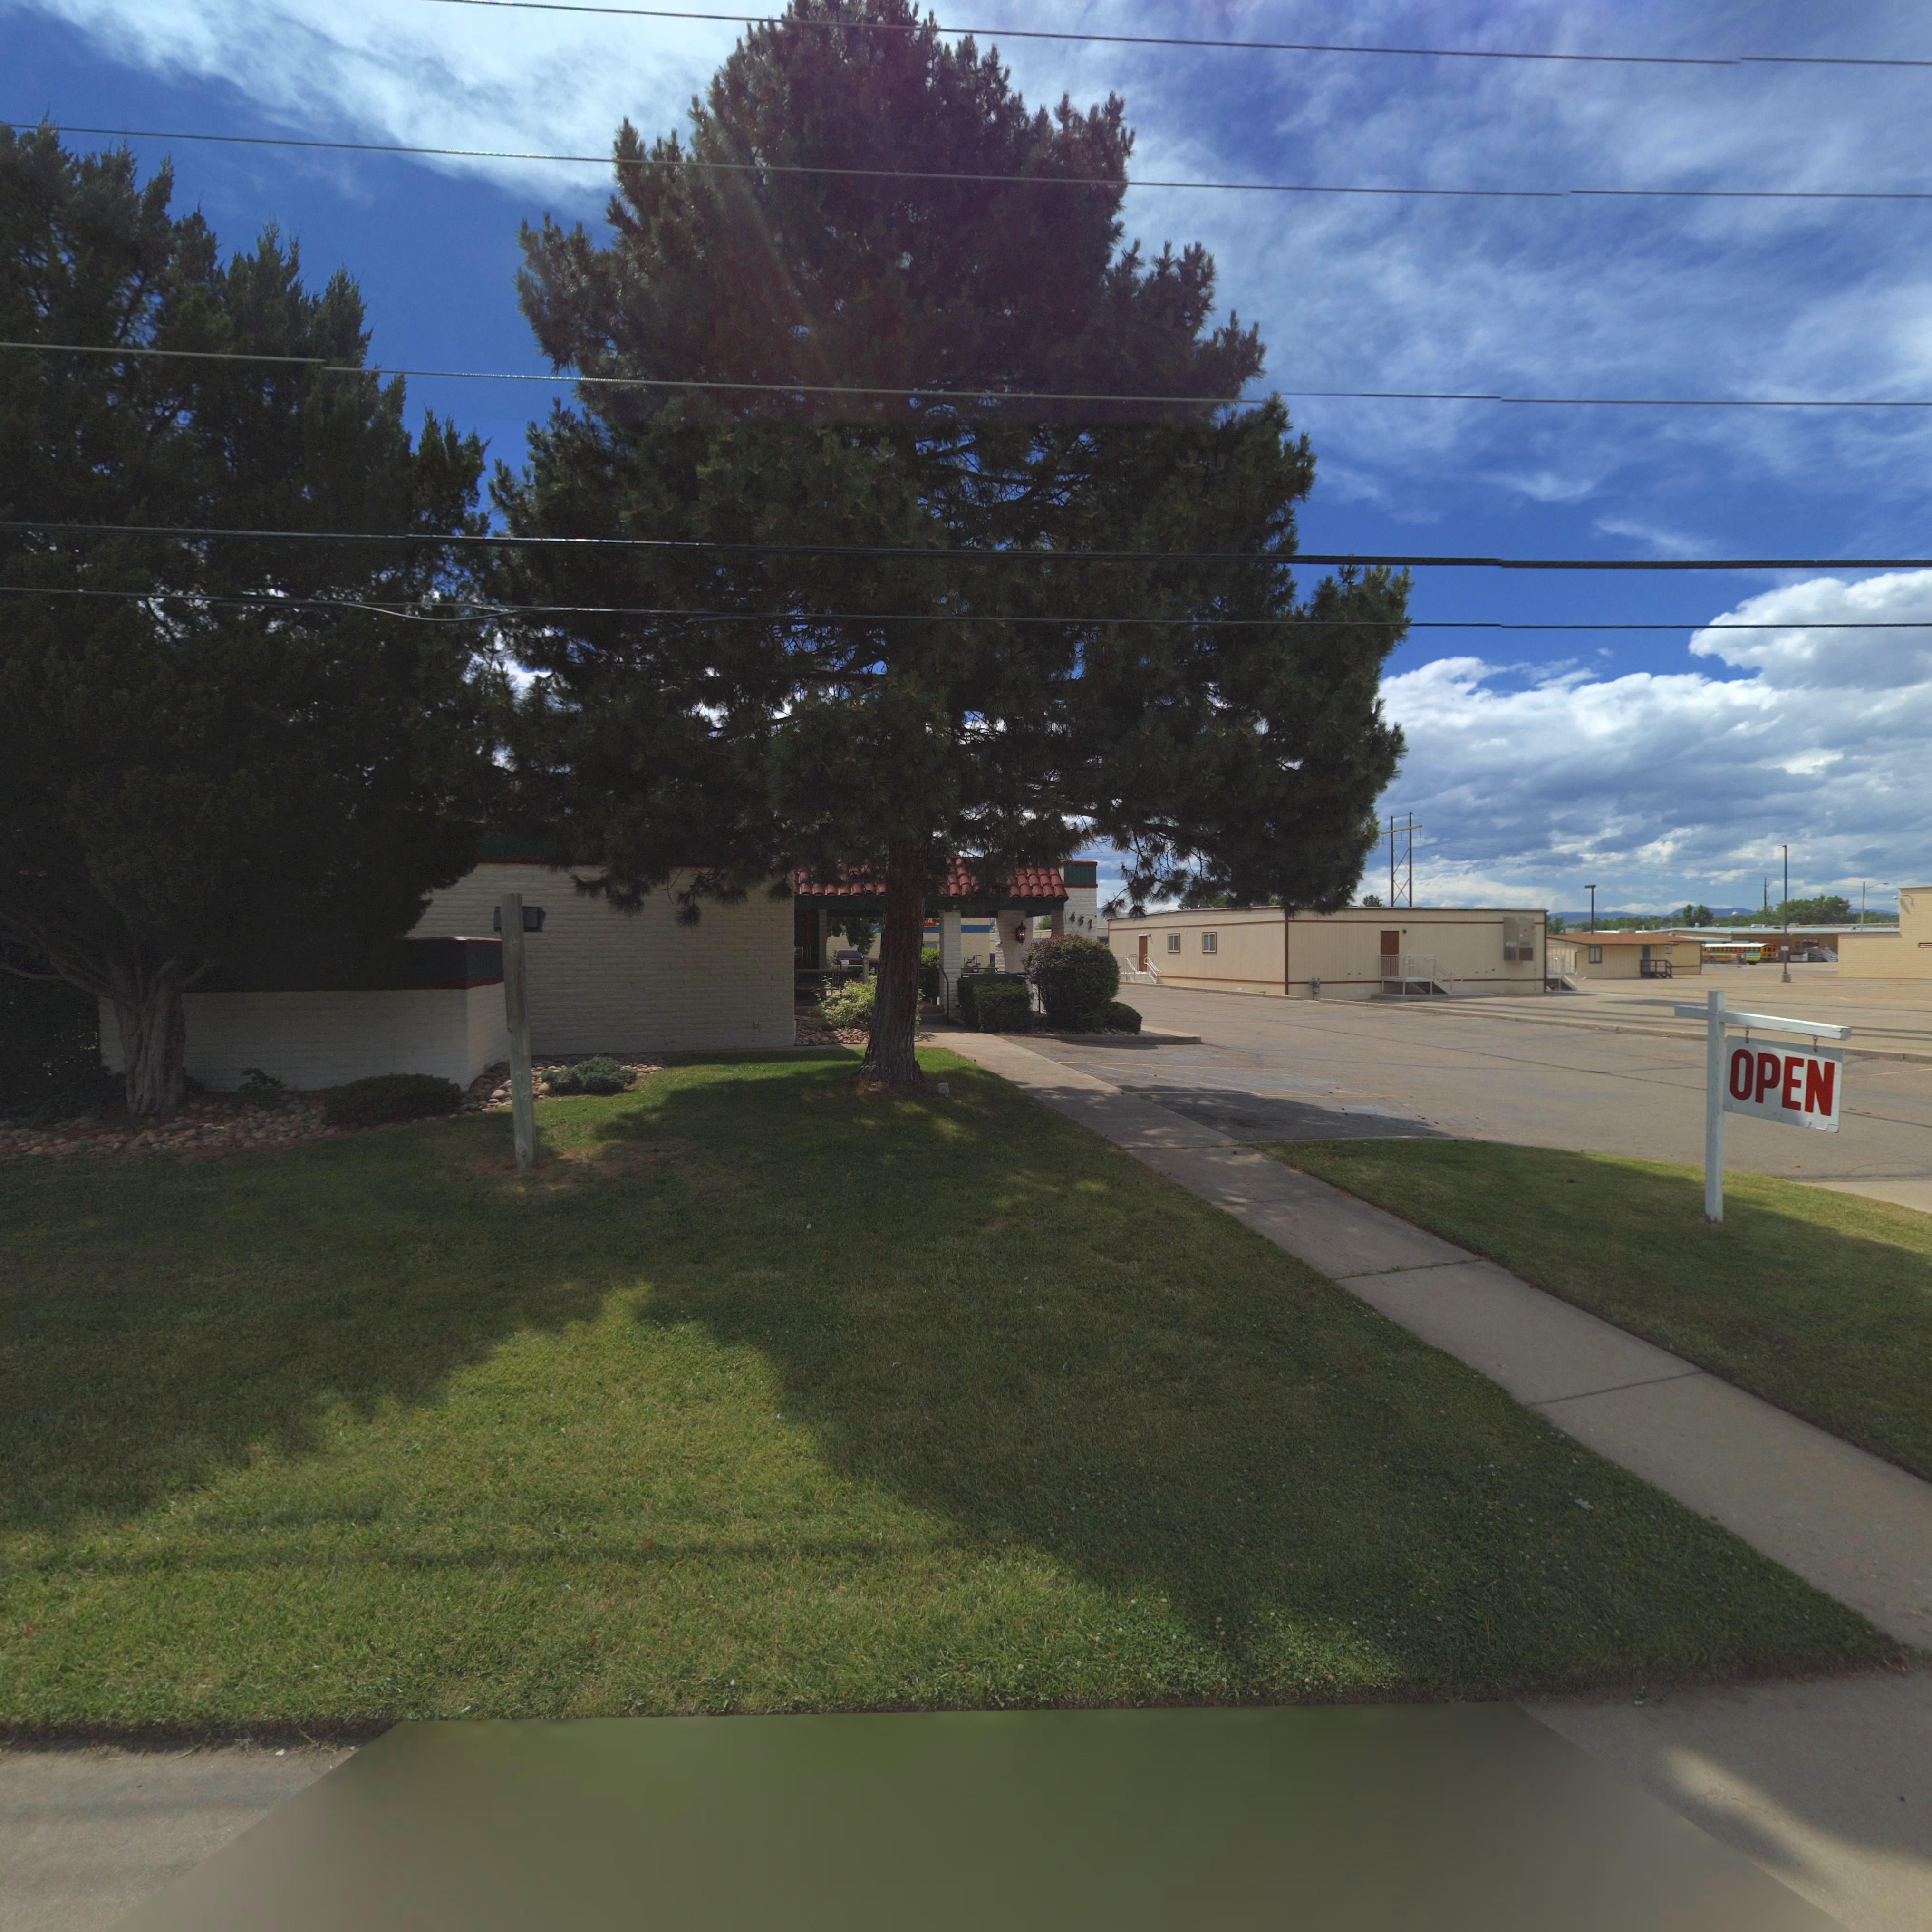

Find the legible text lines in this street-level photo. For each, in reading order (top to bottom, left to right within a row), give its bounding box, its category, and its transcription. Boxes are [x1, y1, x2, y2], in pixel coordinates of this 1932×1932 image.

[927, 917, 934, 923] BusinessName: IL
[1069, 911, 1092, 928] StreetNumber: 451